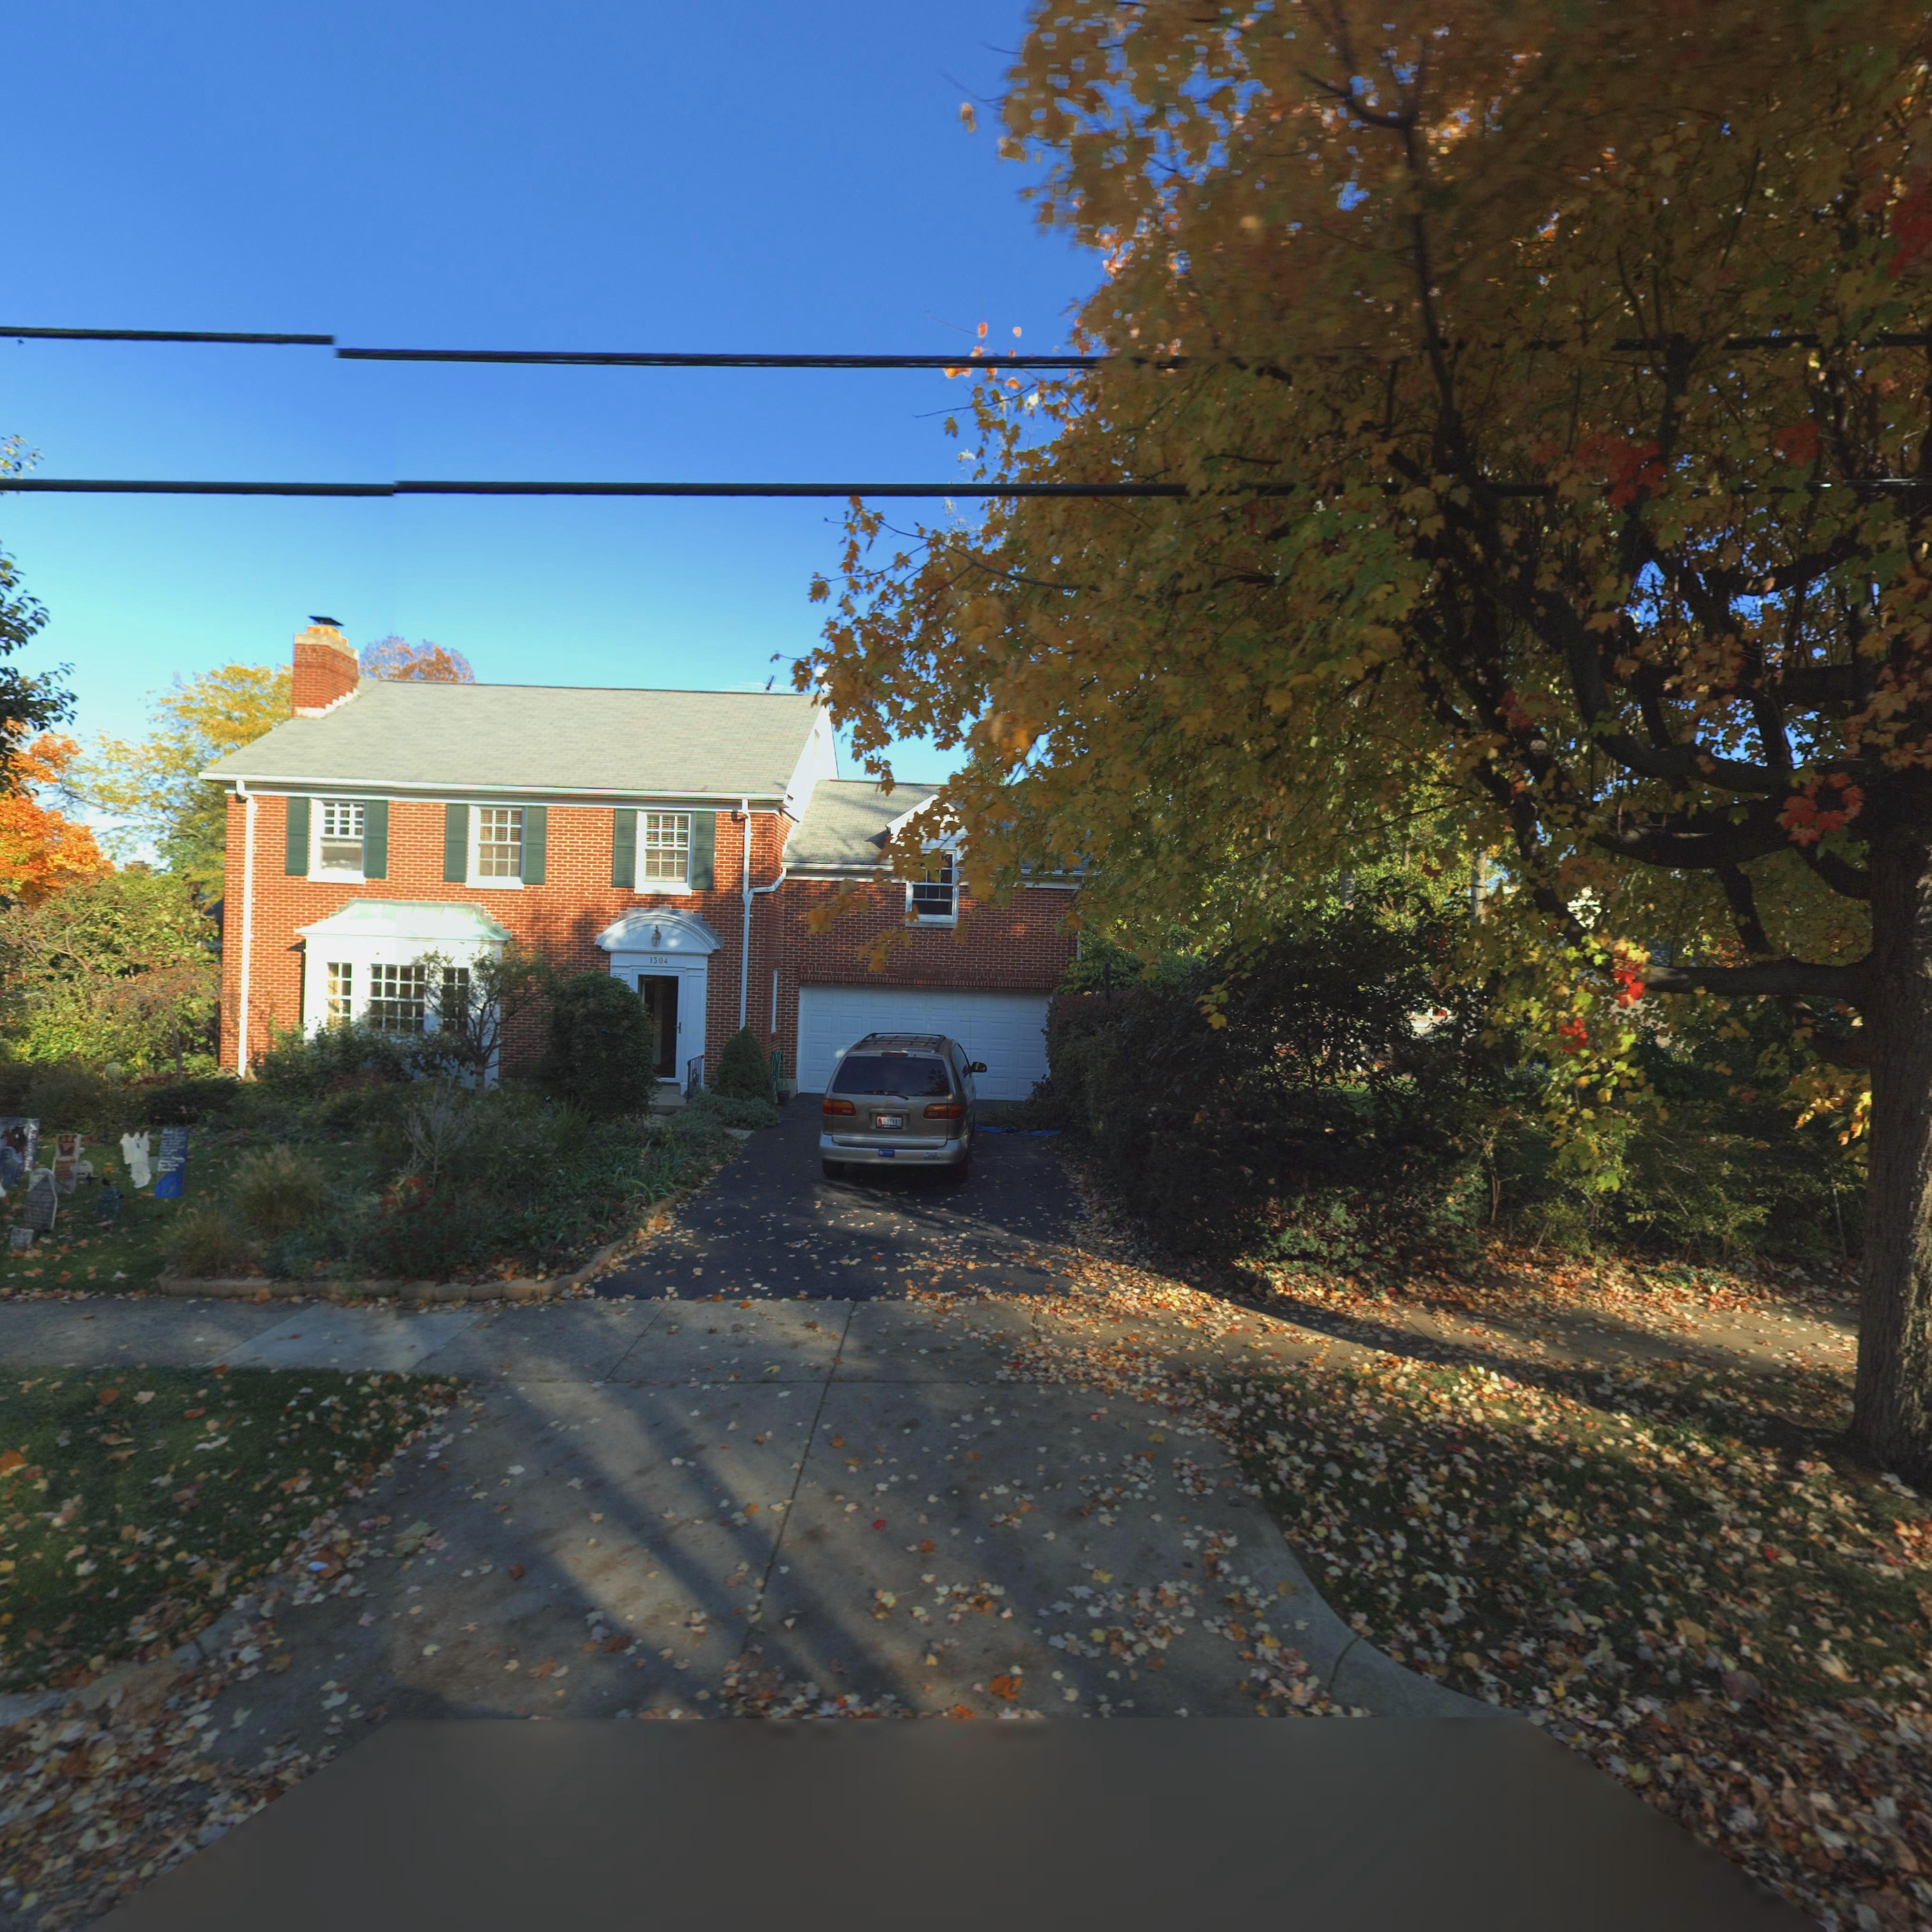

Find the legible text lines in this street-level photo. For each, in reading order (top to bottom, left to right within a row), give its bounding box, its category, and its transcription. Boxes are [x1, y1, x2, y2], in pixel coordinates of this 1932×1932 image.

[649, 956, 669, 966] StreetNumber: 1304